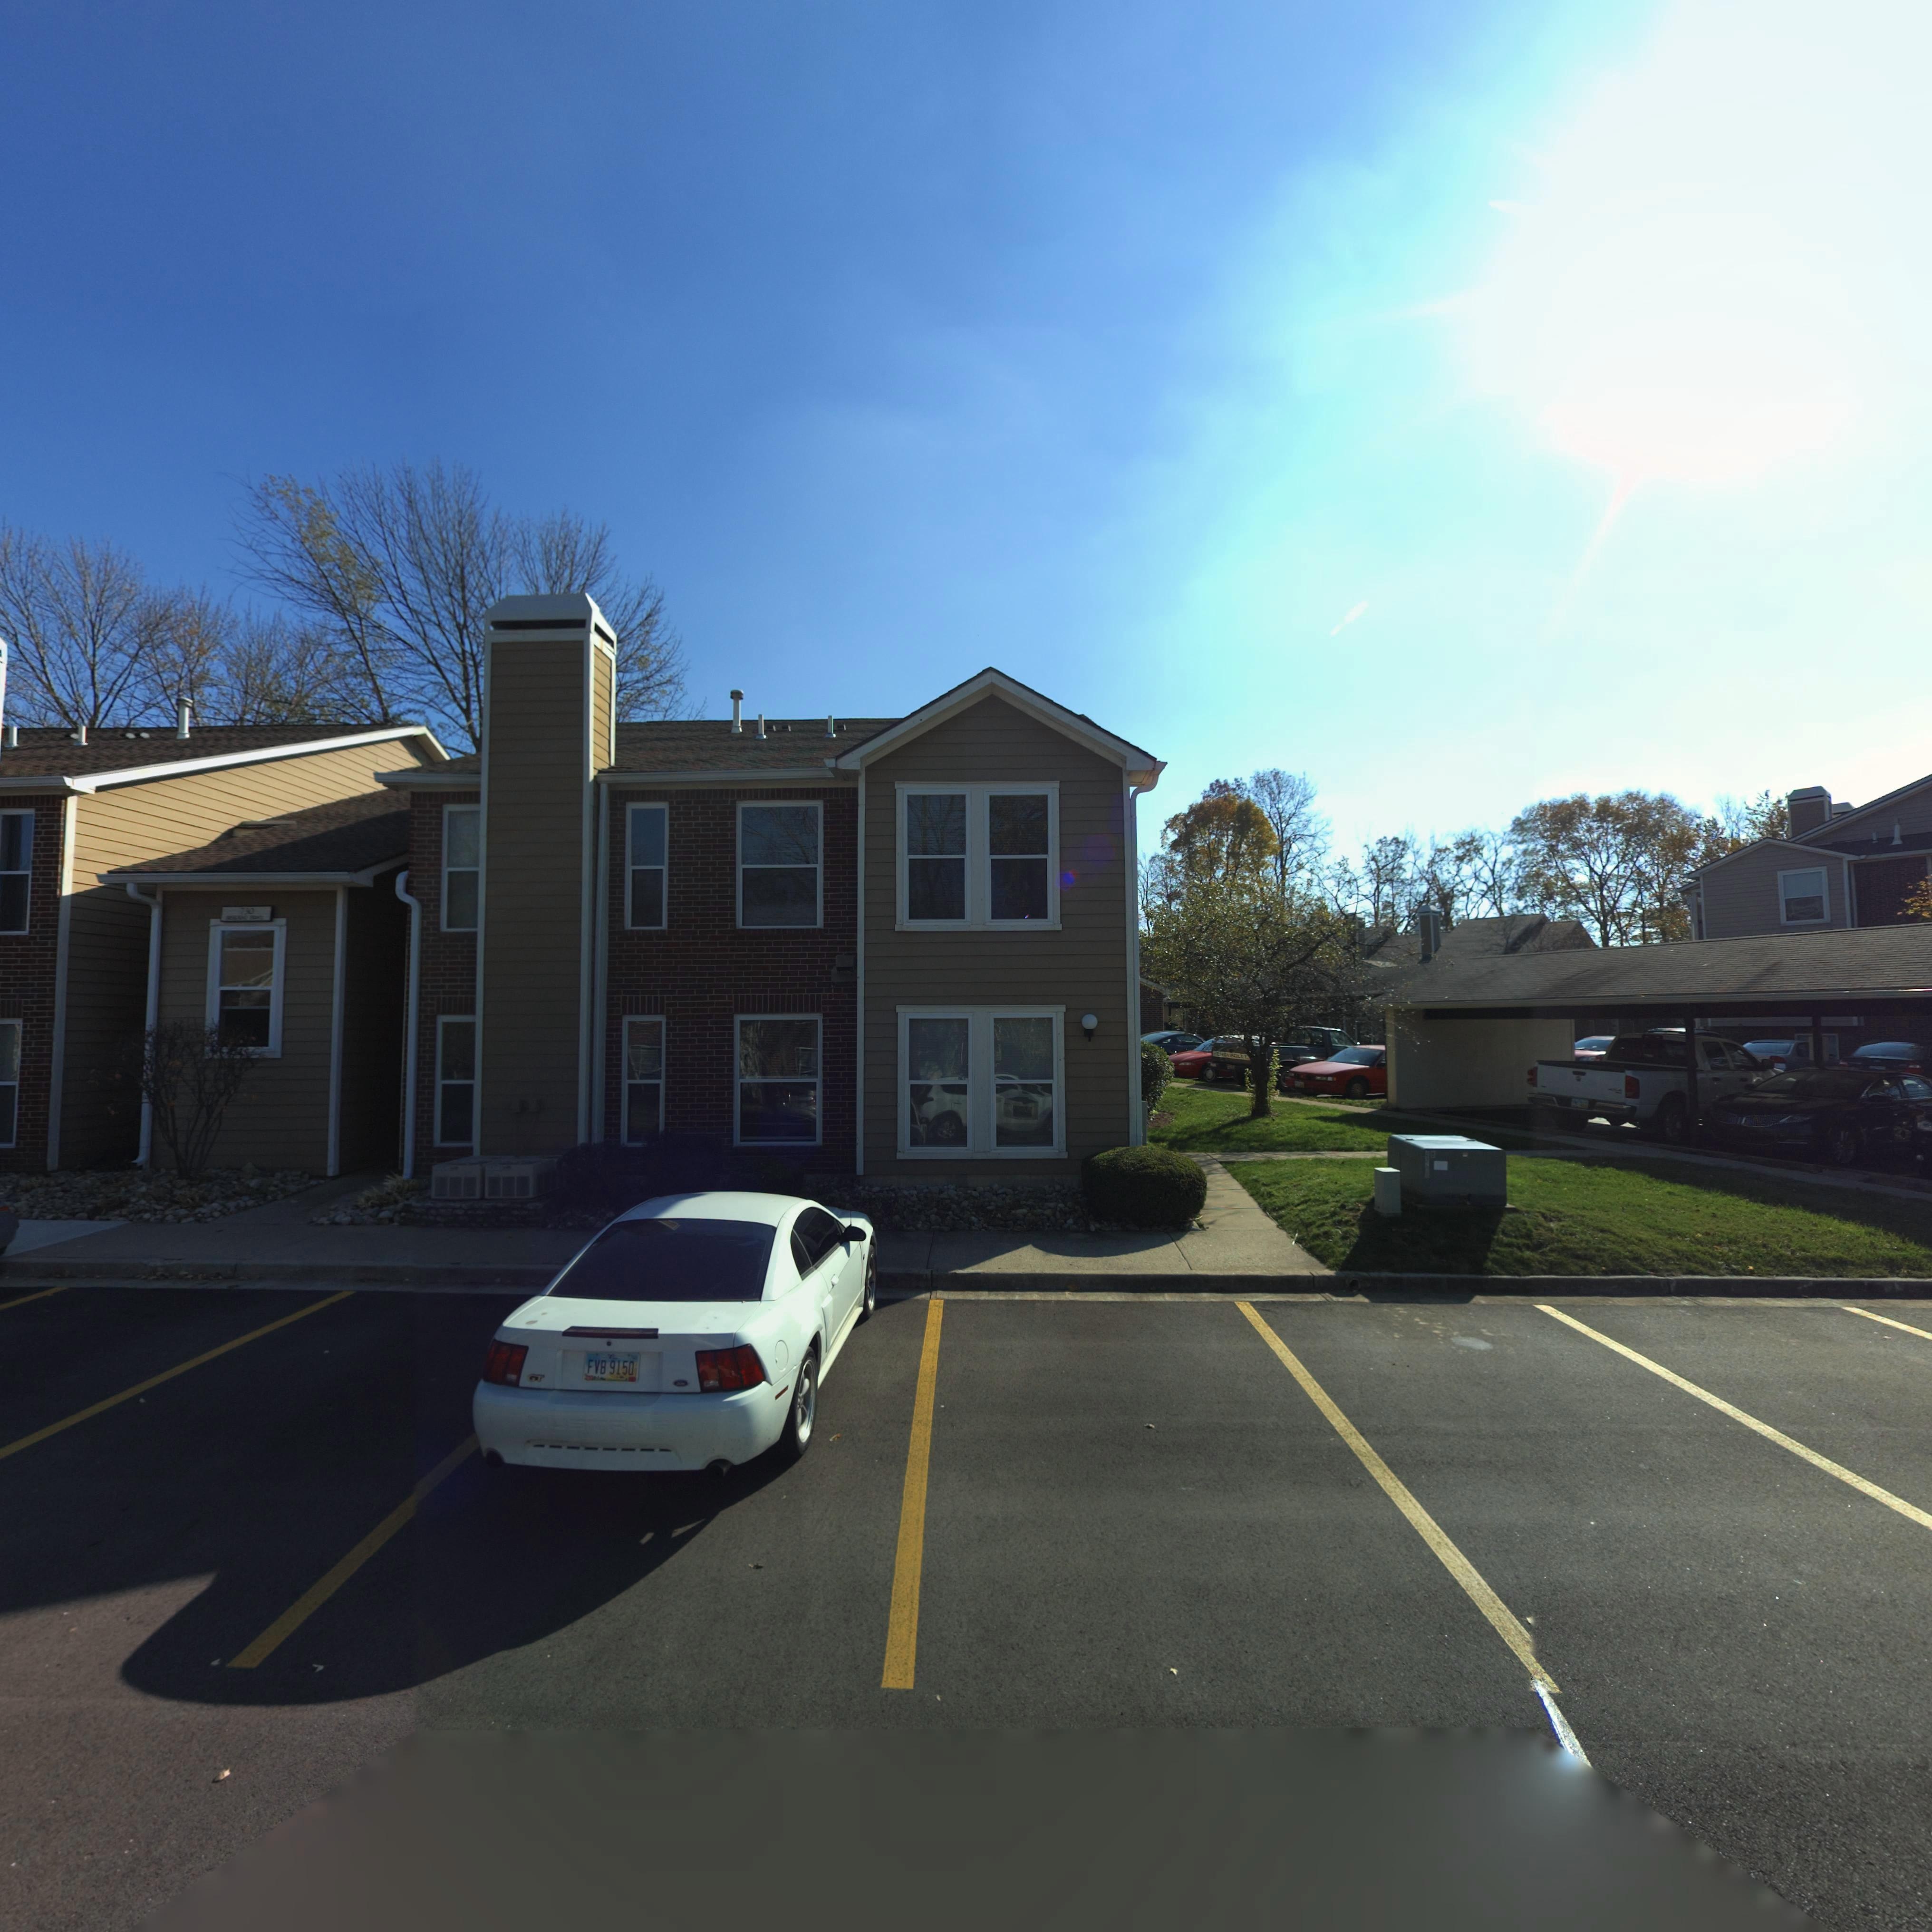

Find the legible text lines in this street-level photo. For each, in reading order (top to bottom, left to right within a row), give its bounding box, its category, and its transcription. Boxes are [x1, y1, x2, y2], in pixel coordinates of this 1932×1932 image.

[240, 907, 255, 916] StreetNumber: 7*0
[586, 1358, 636, 1377] None: FVB 9150